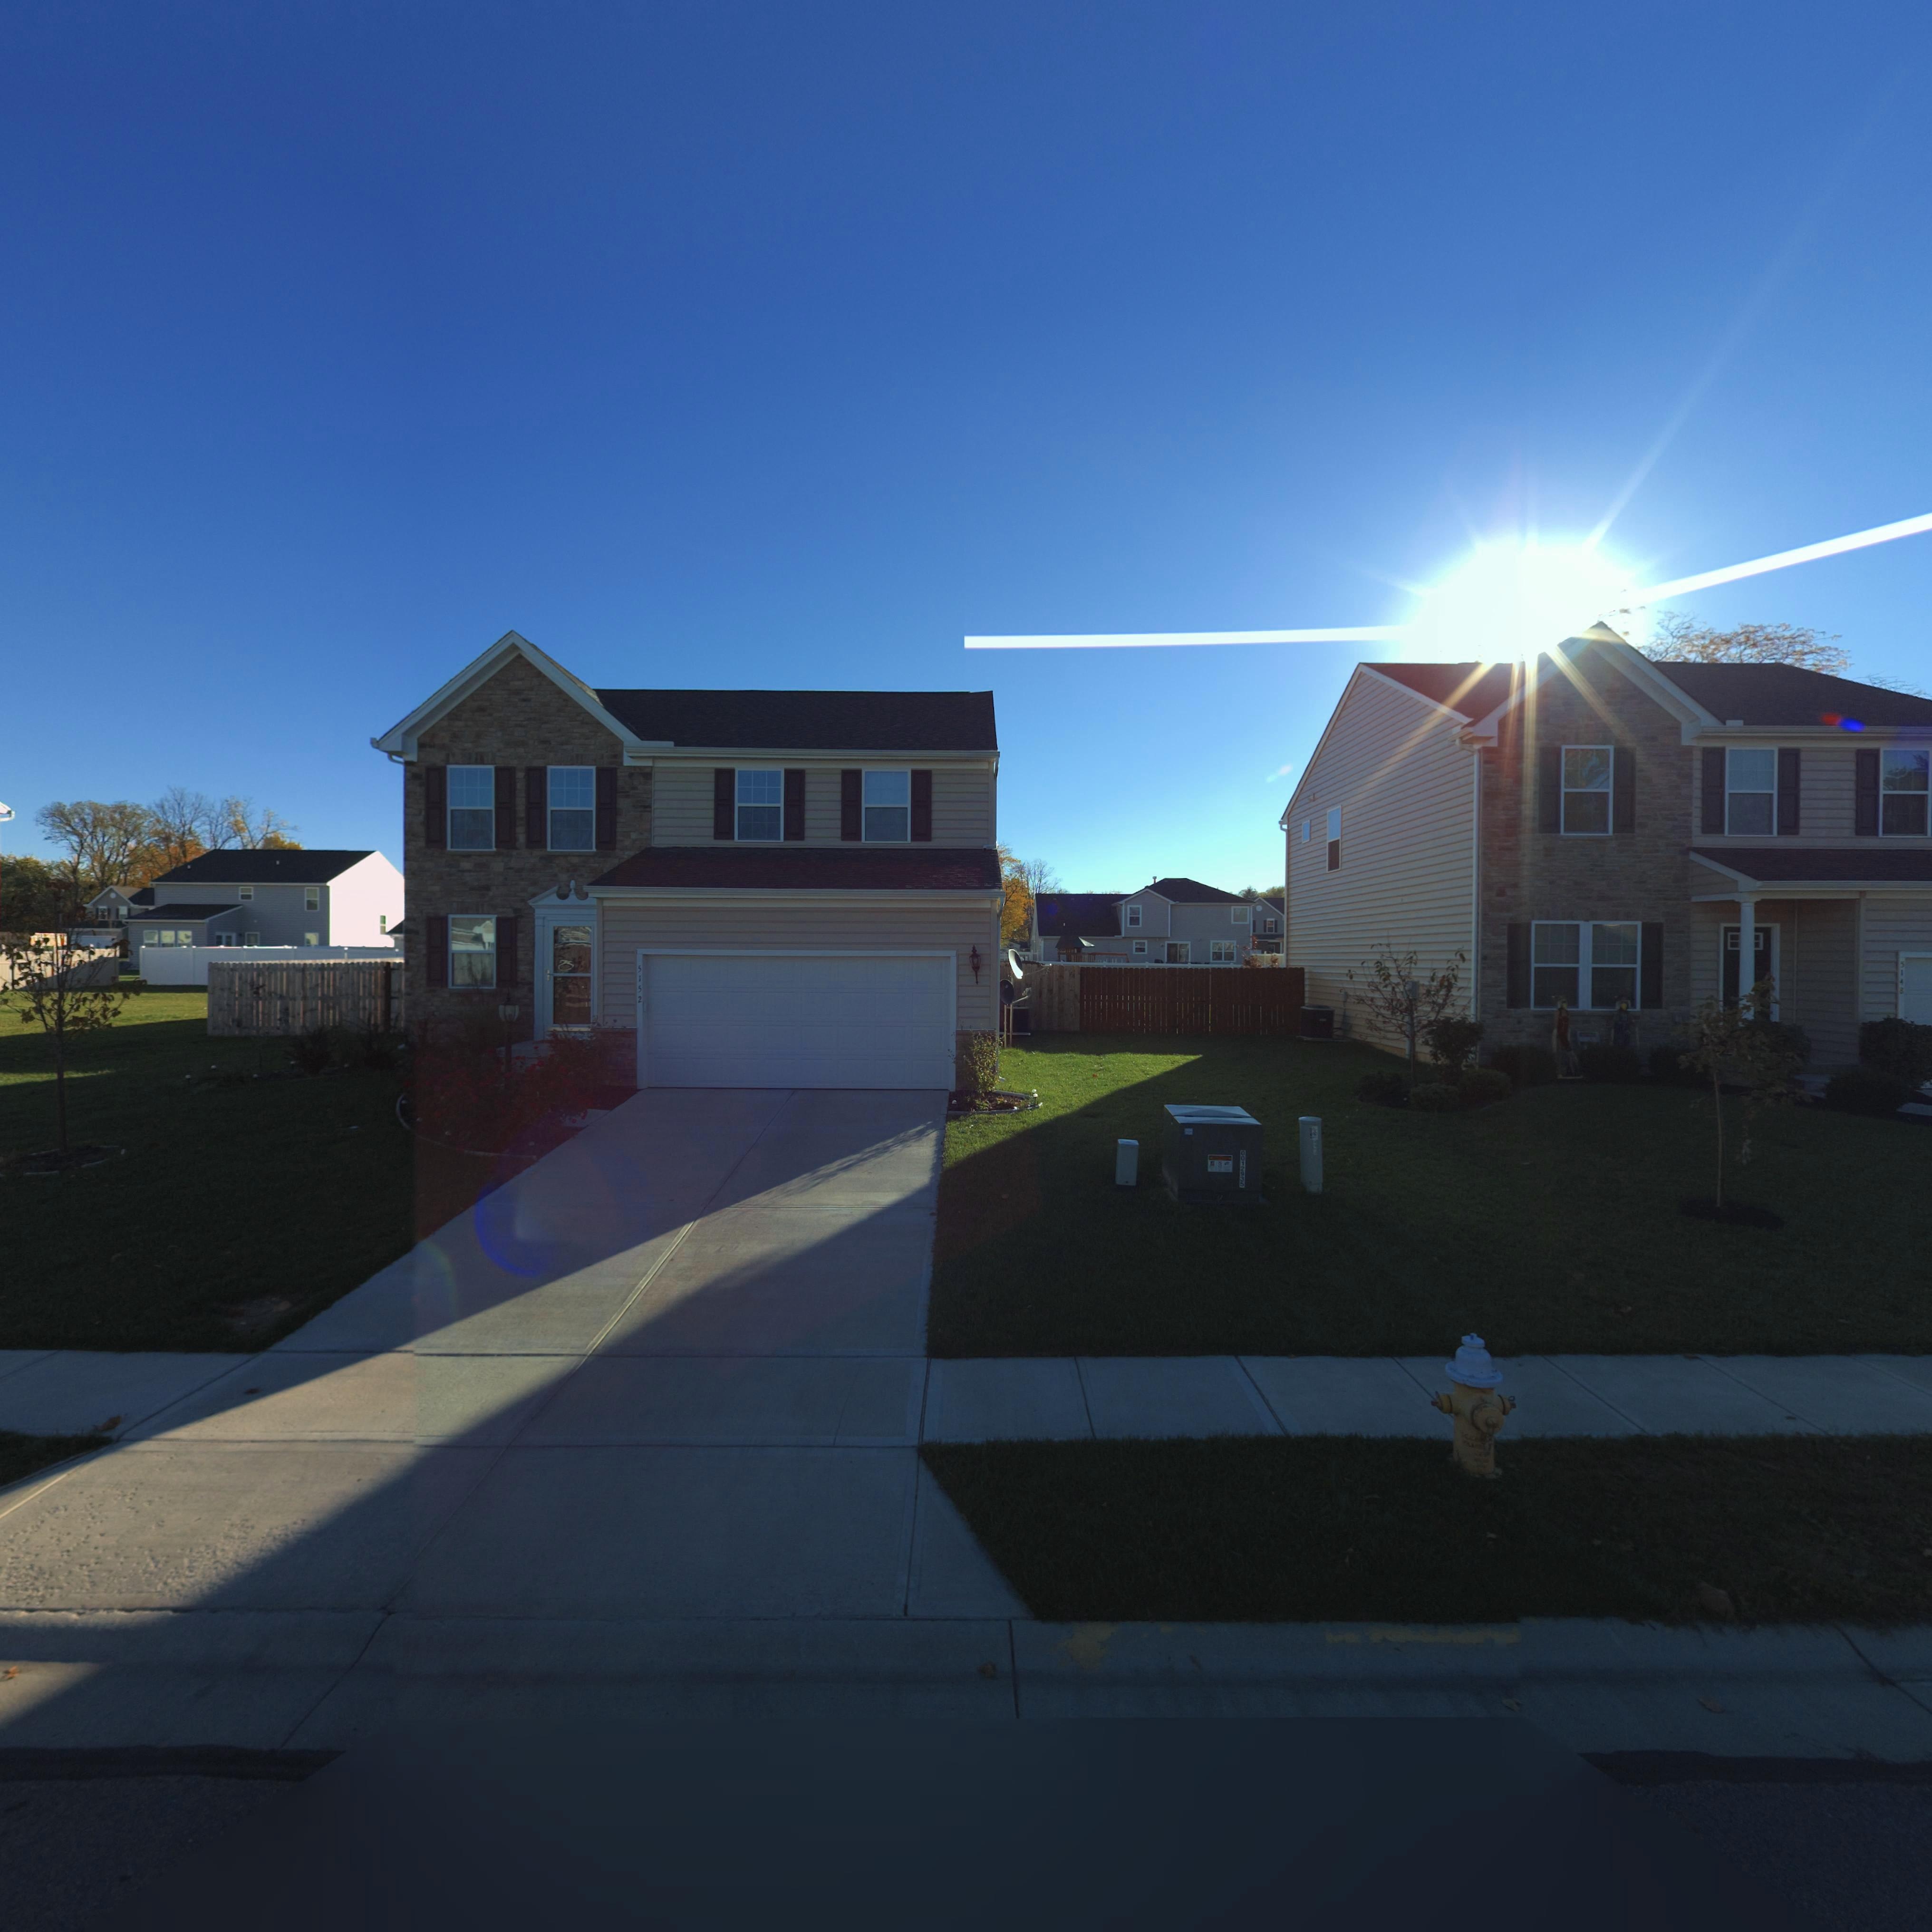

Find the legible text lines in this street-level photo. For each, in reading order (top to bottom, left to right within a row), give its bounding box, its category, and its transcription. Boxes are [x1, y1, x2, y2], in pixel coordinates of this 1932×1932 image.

[637, 965, 643, 1004] StreetNumber: 5152
[1899, 960, 1905, 995] StreetNumber: 5148